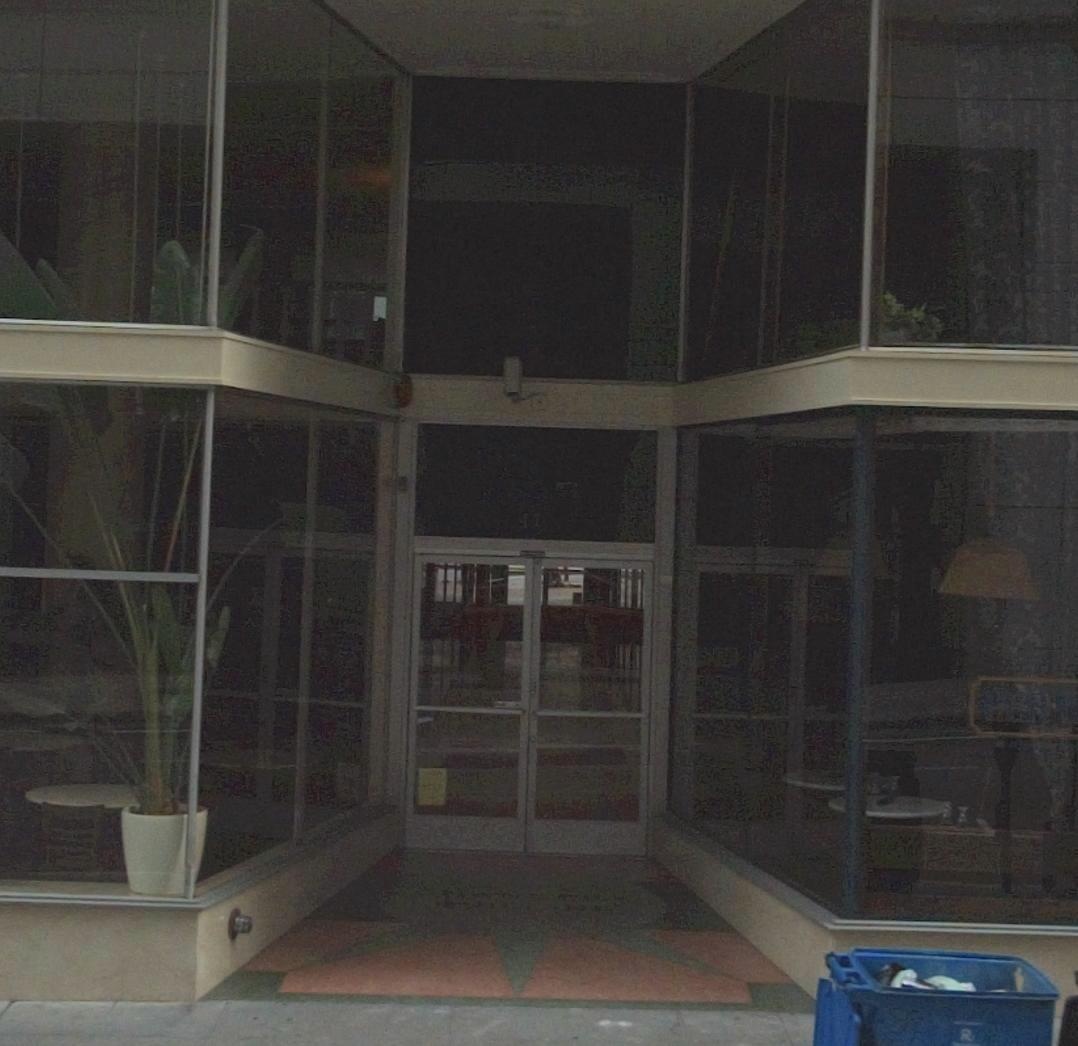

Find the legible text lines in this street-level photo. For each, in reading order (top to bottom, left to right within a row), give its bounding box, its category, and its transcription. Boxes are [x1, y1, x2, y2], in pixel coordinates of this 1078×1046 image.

[517, 512, 542, 530] StreetNumber: 47